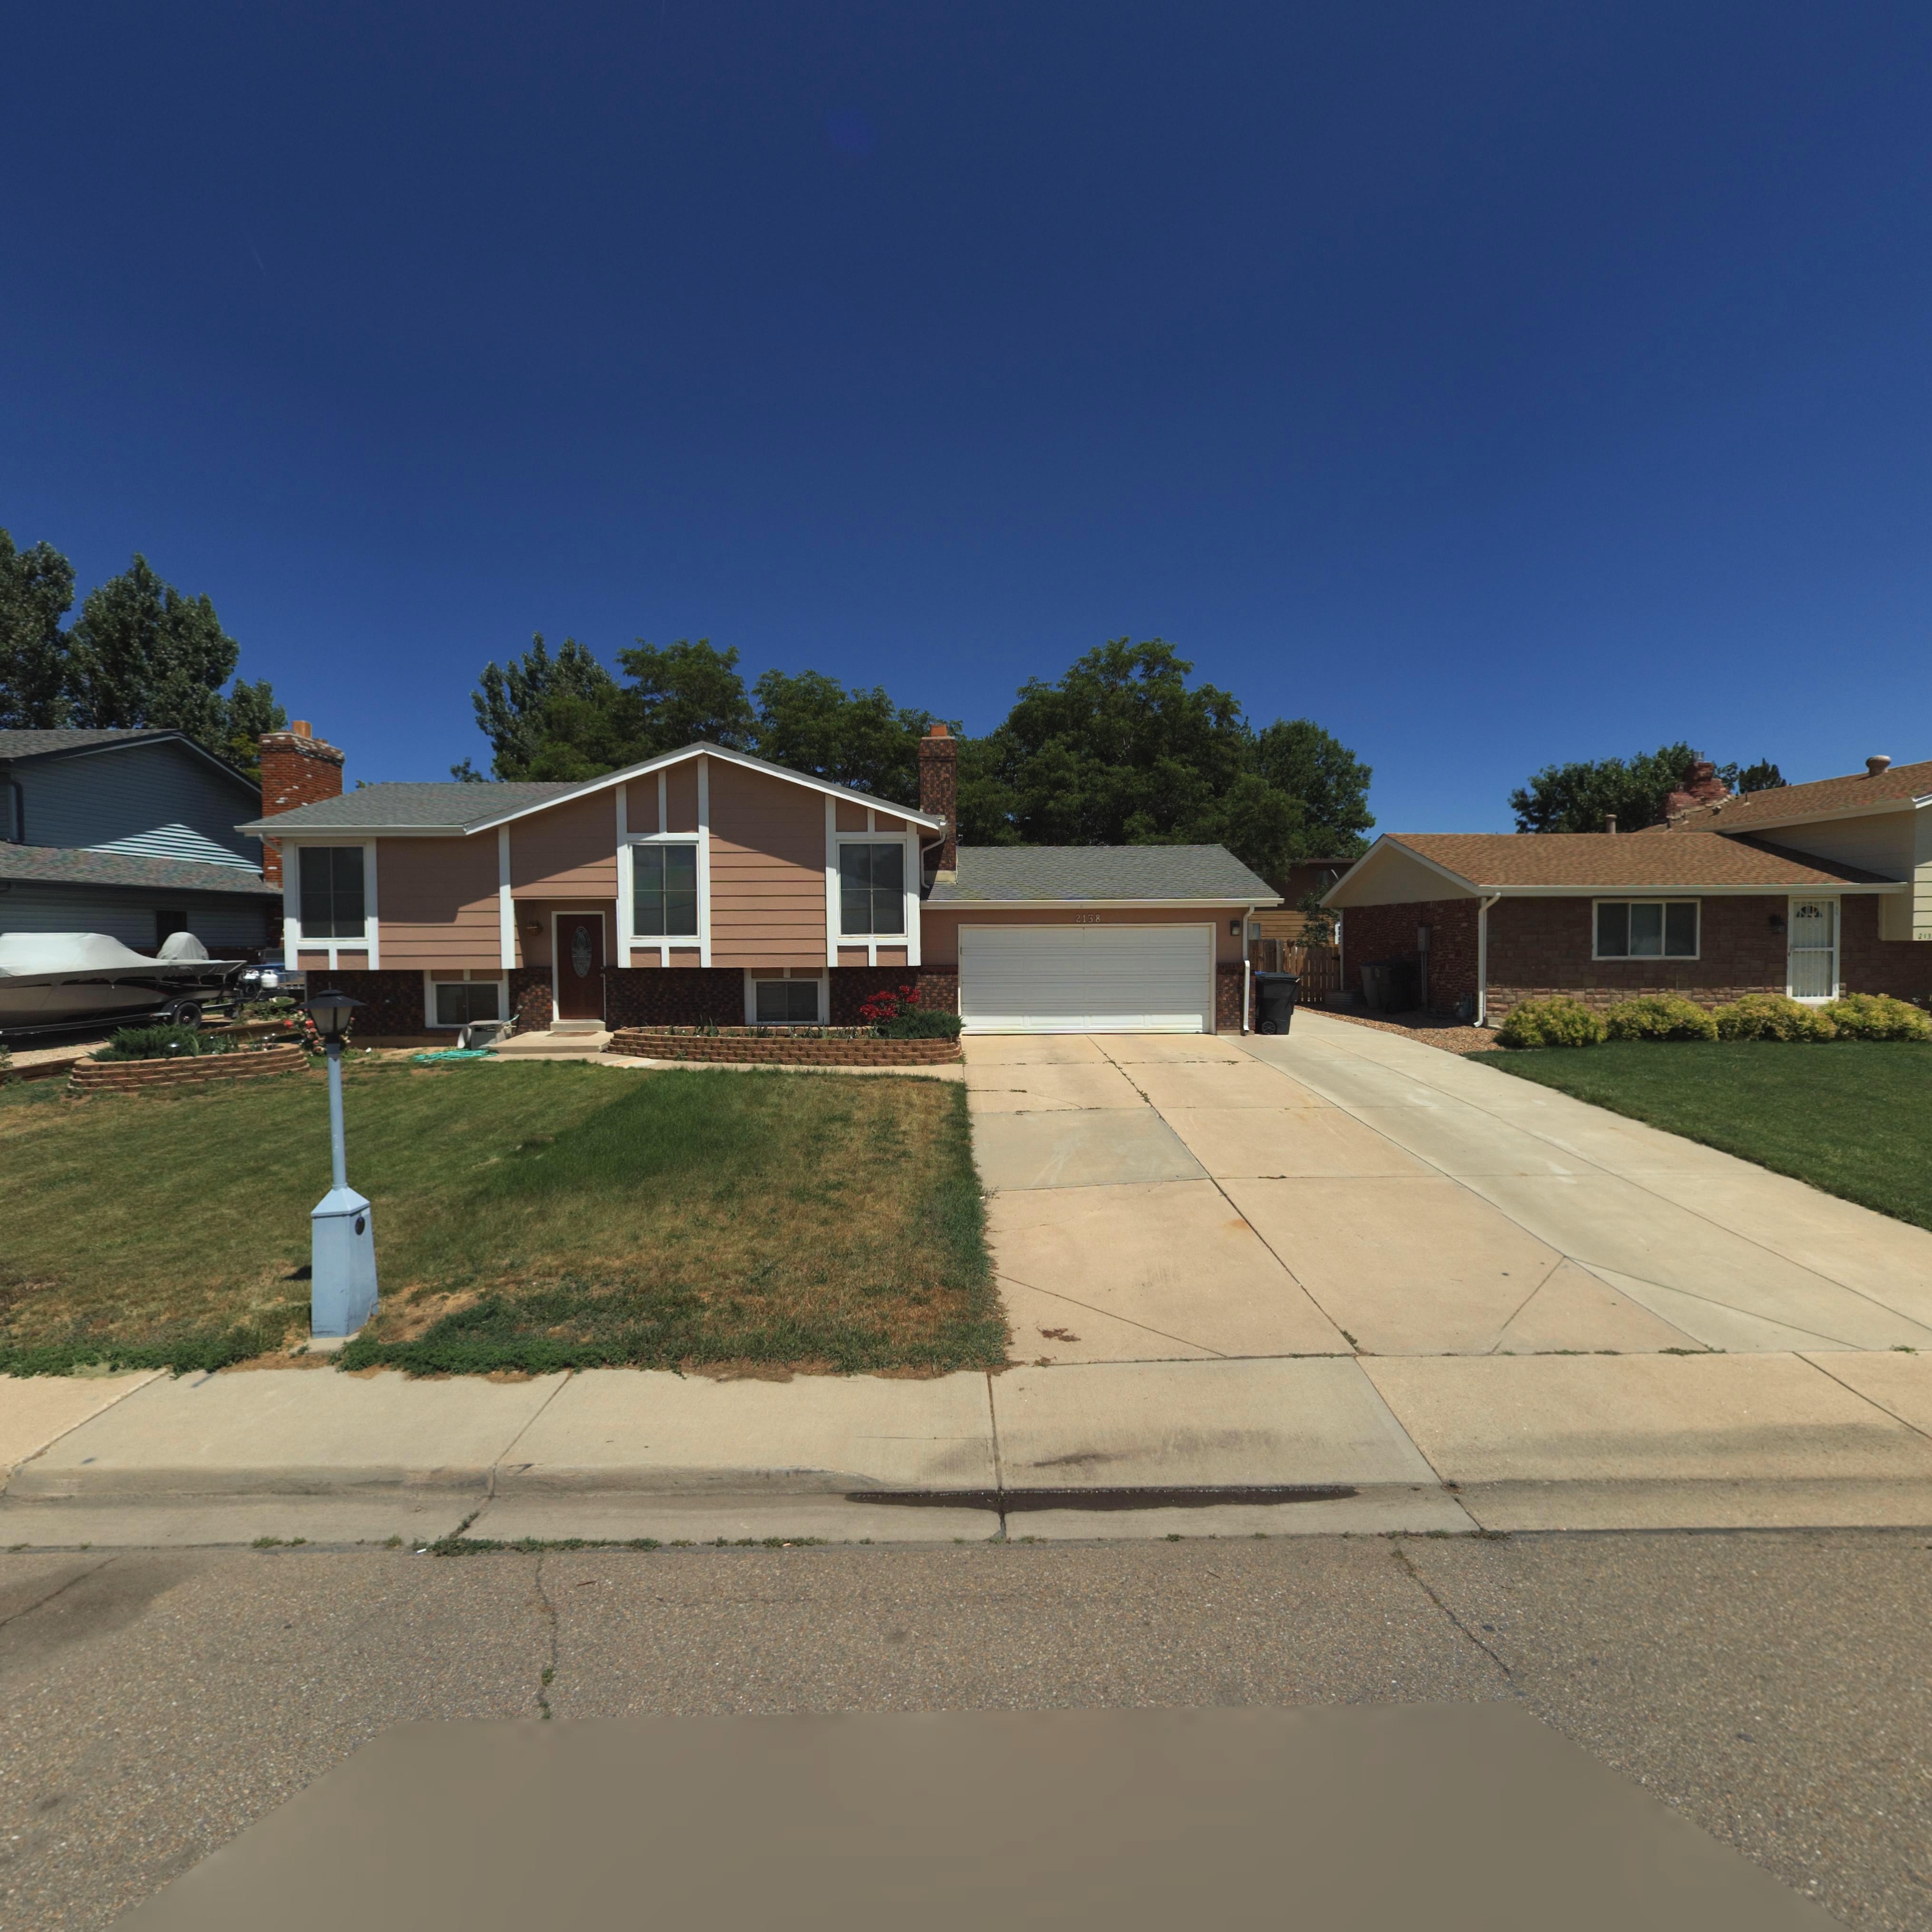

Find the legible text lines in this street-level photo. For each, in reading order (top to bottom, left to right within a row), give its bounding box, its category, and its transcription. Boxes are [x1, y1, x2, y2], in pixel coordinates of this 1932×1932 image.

[1074, 913, 1101, 924] StreetNumber: 2138
[1917, 933, 1930, 939] StreetNumber: 213